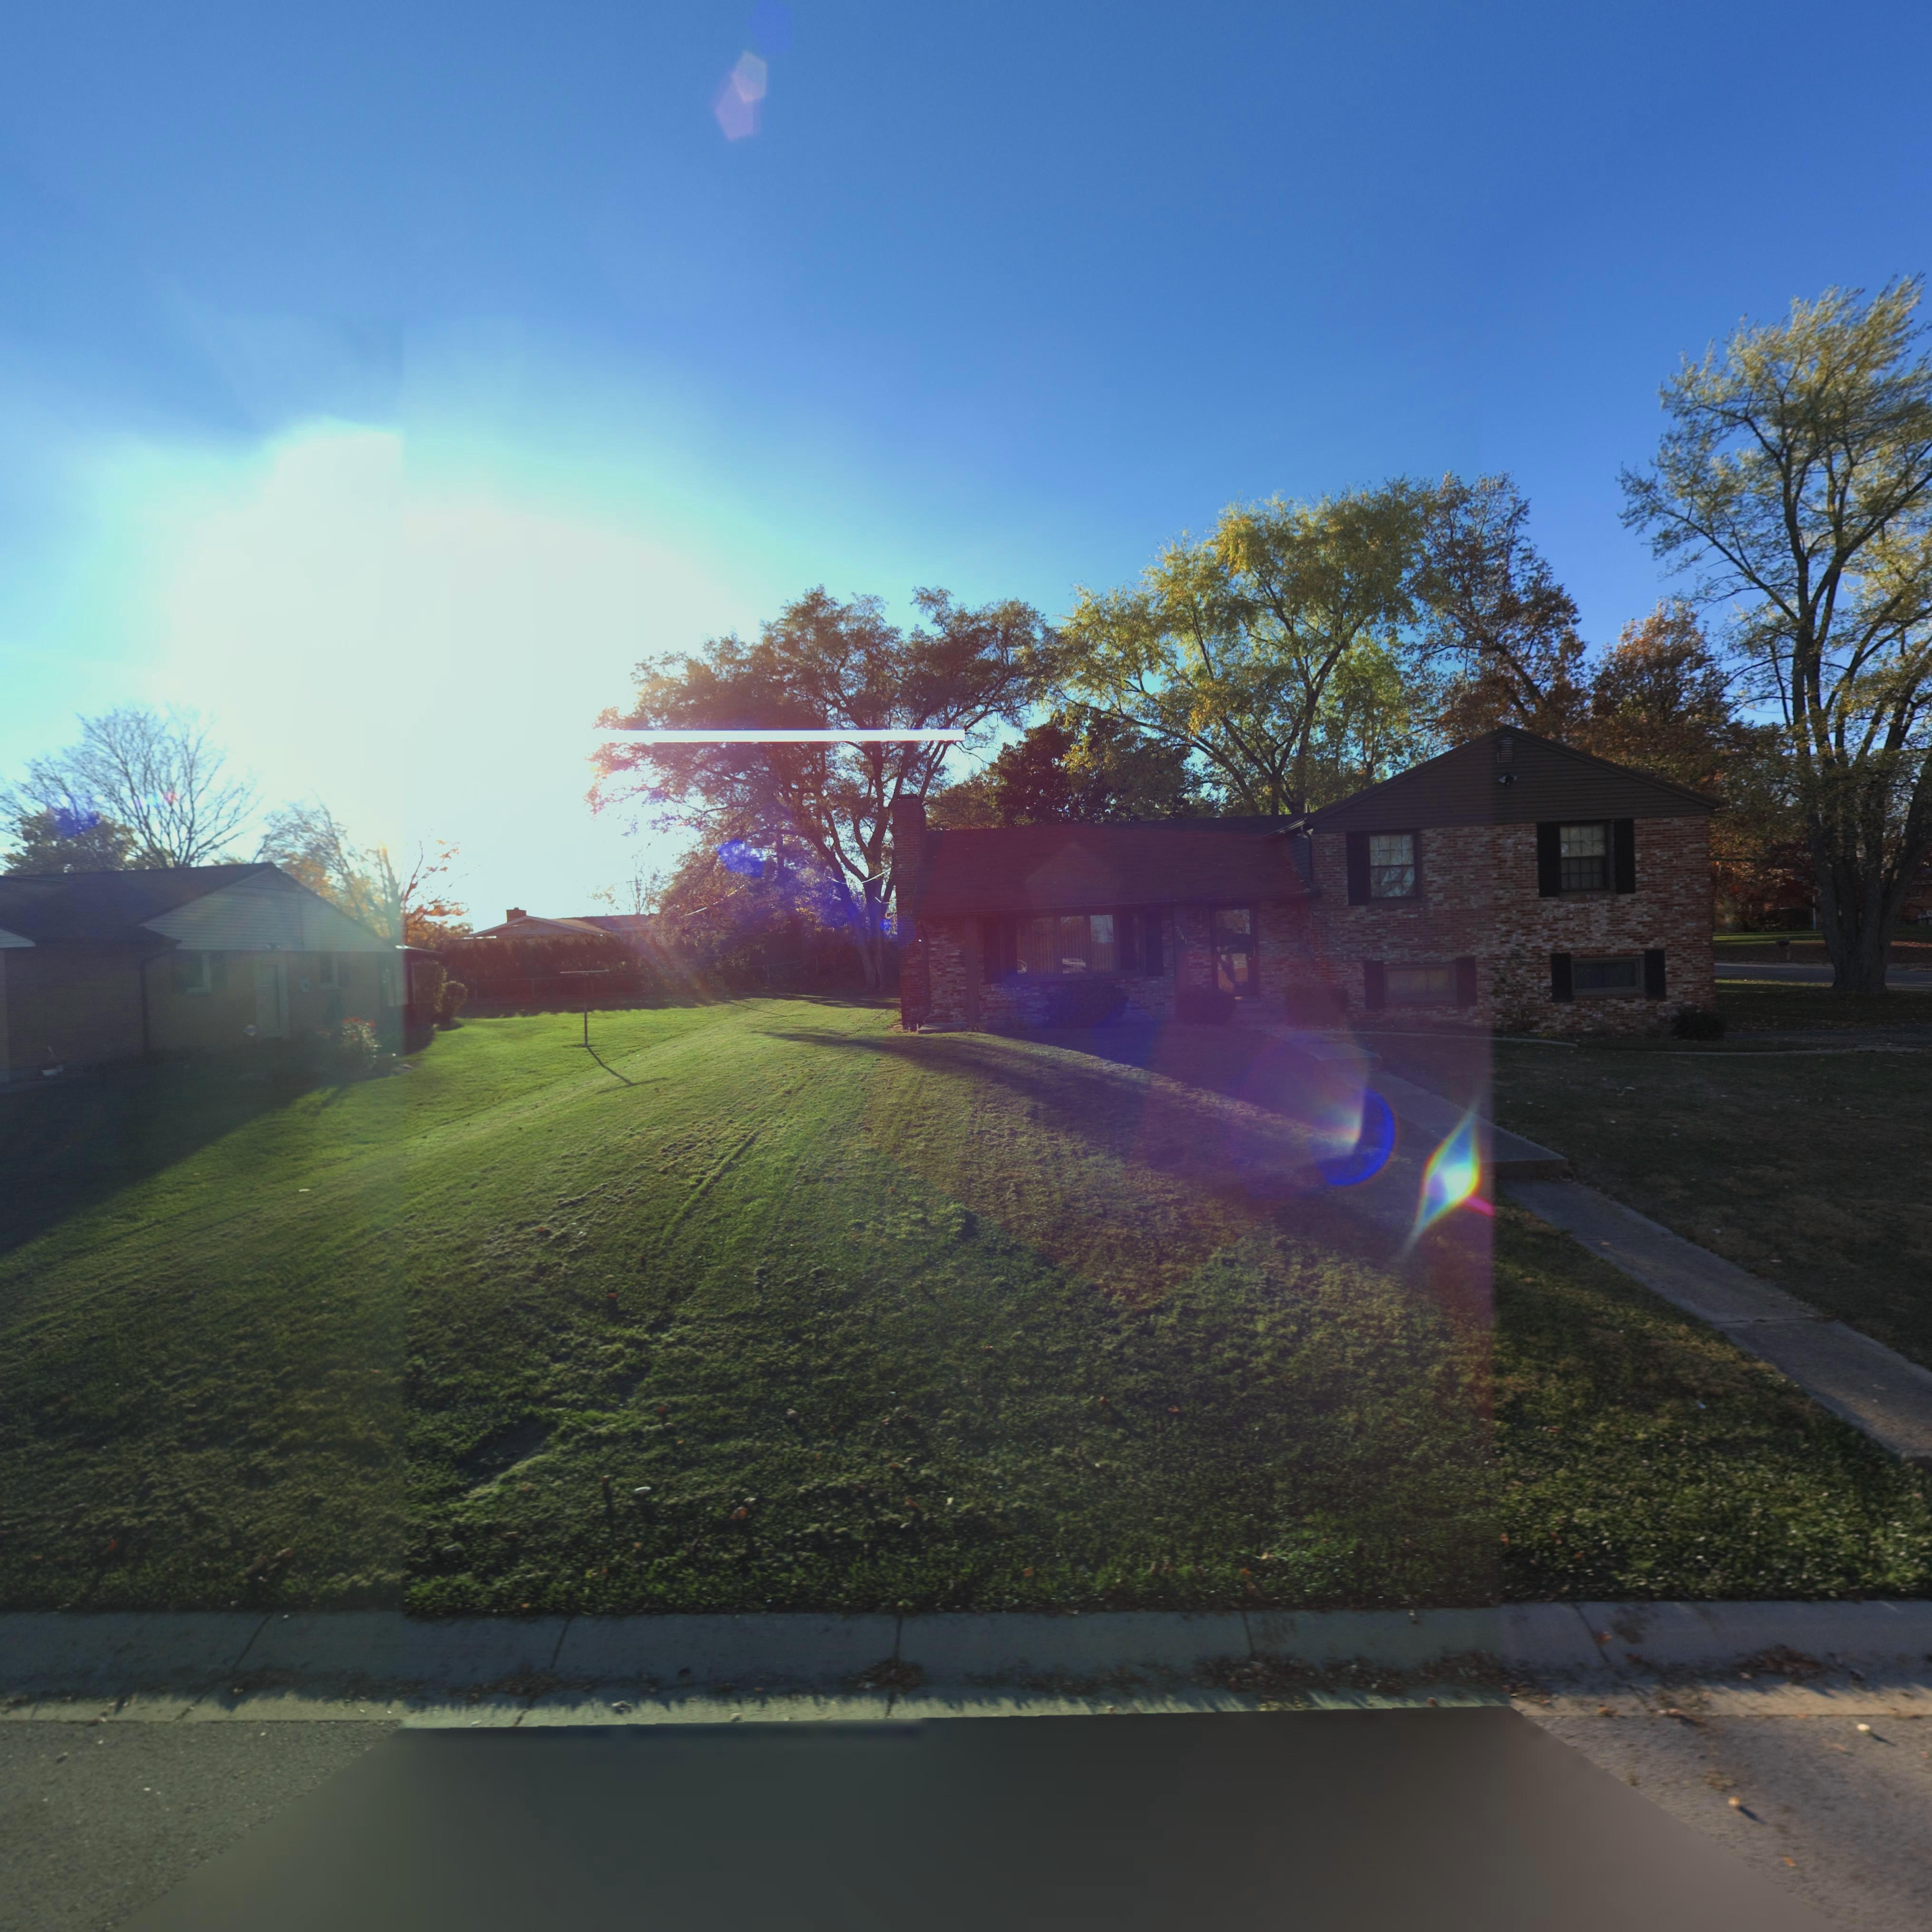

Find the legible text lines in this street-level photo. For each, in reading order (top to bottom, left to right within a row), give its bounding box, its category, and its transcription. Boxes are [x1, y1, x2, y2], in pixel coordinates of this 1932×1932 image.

[1174, 926, 1188, 946] StreetNumber: 7541